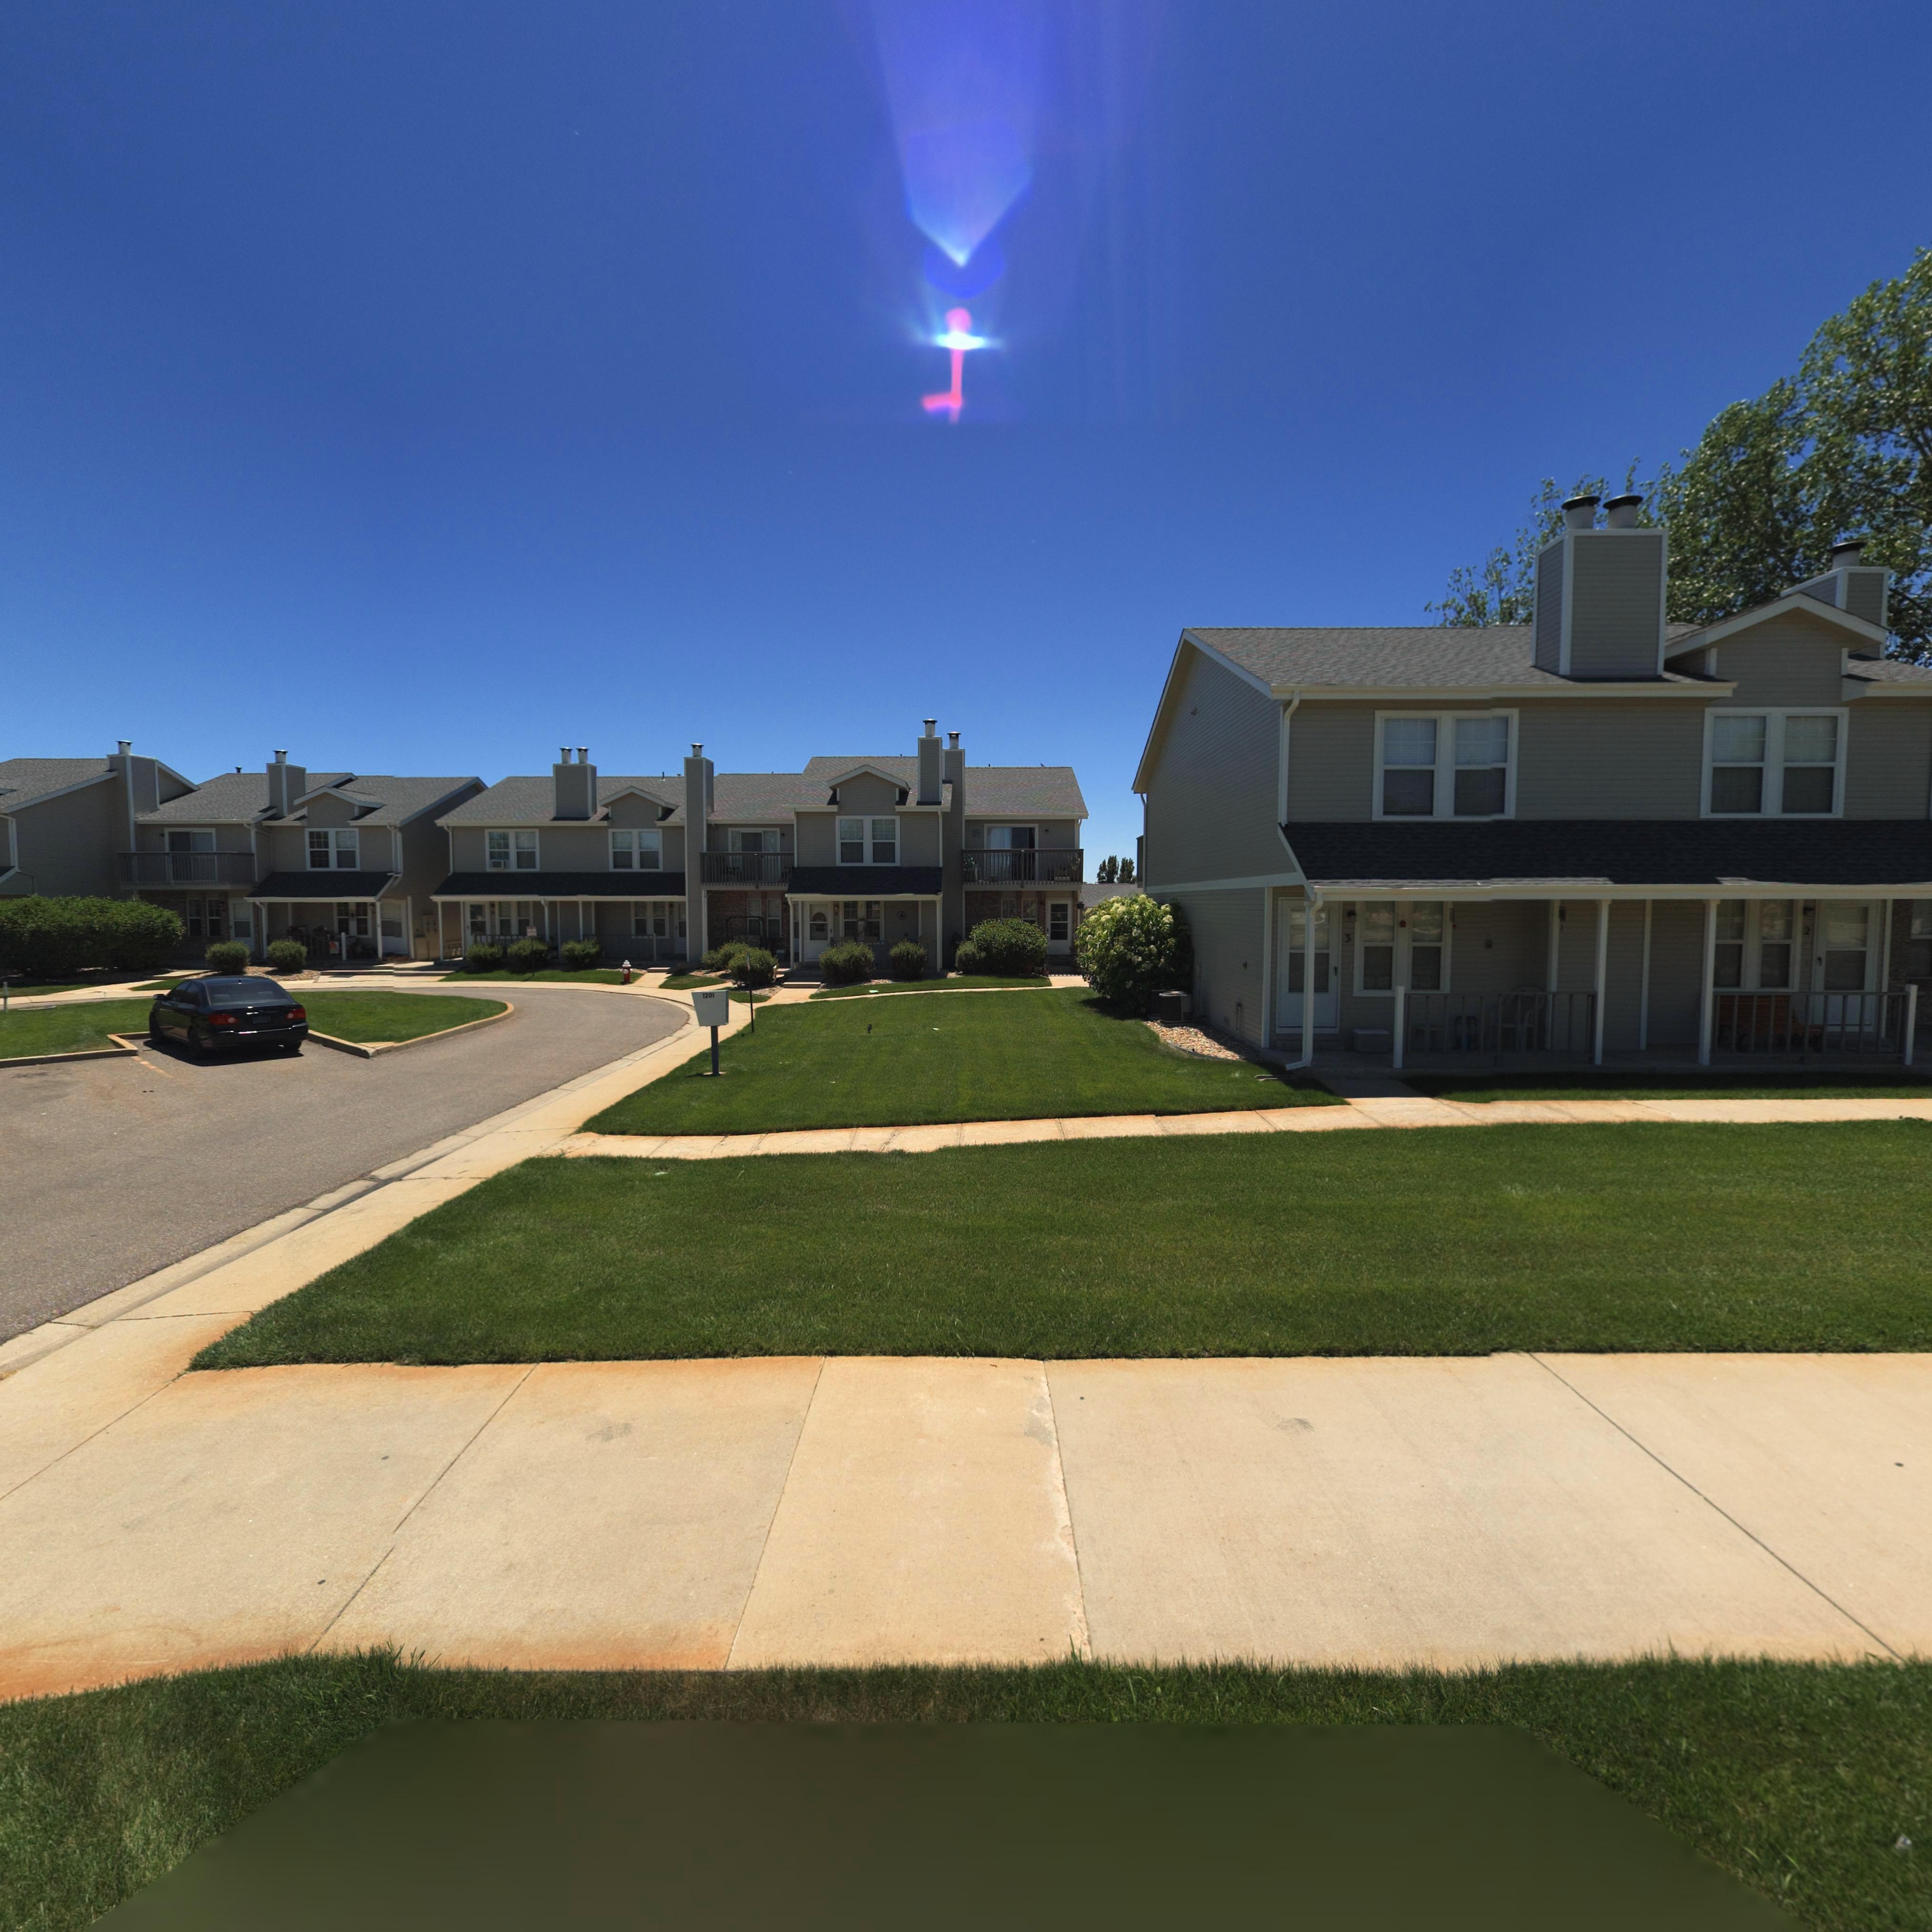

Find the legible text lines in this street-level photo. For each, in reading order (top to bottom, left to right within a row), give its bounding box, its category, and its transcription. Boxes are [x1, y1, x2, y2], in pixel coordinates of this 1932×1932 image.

[669, 910, 673, 915] StreetNumber: 1
[835, 911, 838, 916] StreetNumber: 9
[1803, 926, 1811, 935] StreetNumber: 2
[1344, 933, 1351, 943] StreetNumber: 3
[702, 992, 715, 998] StreetNumber: 1201